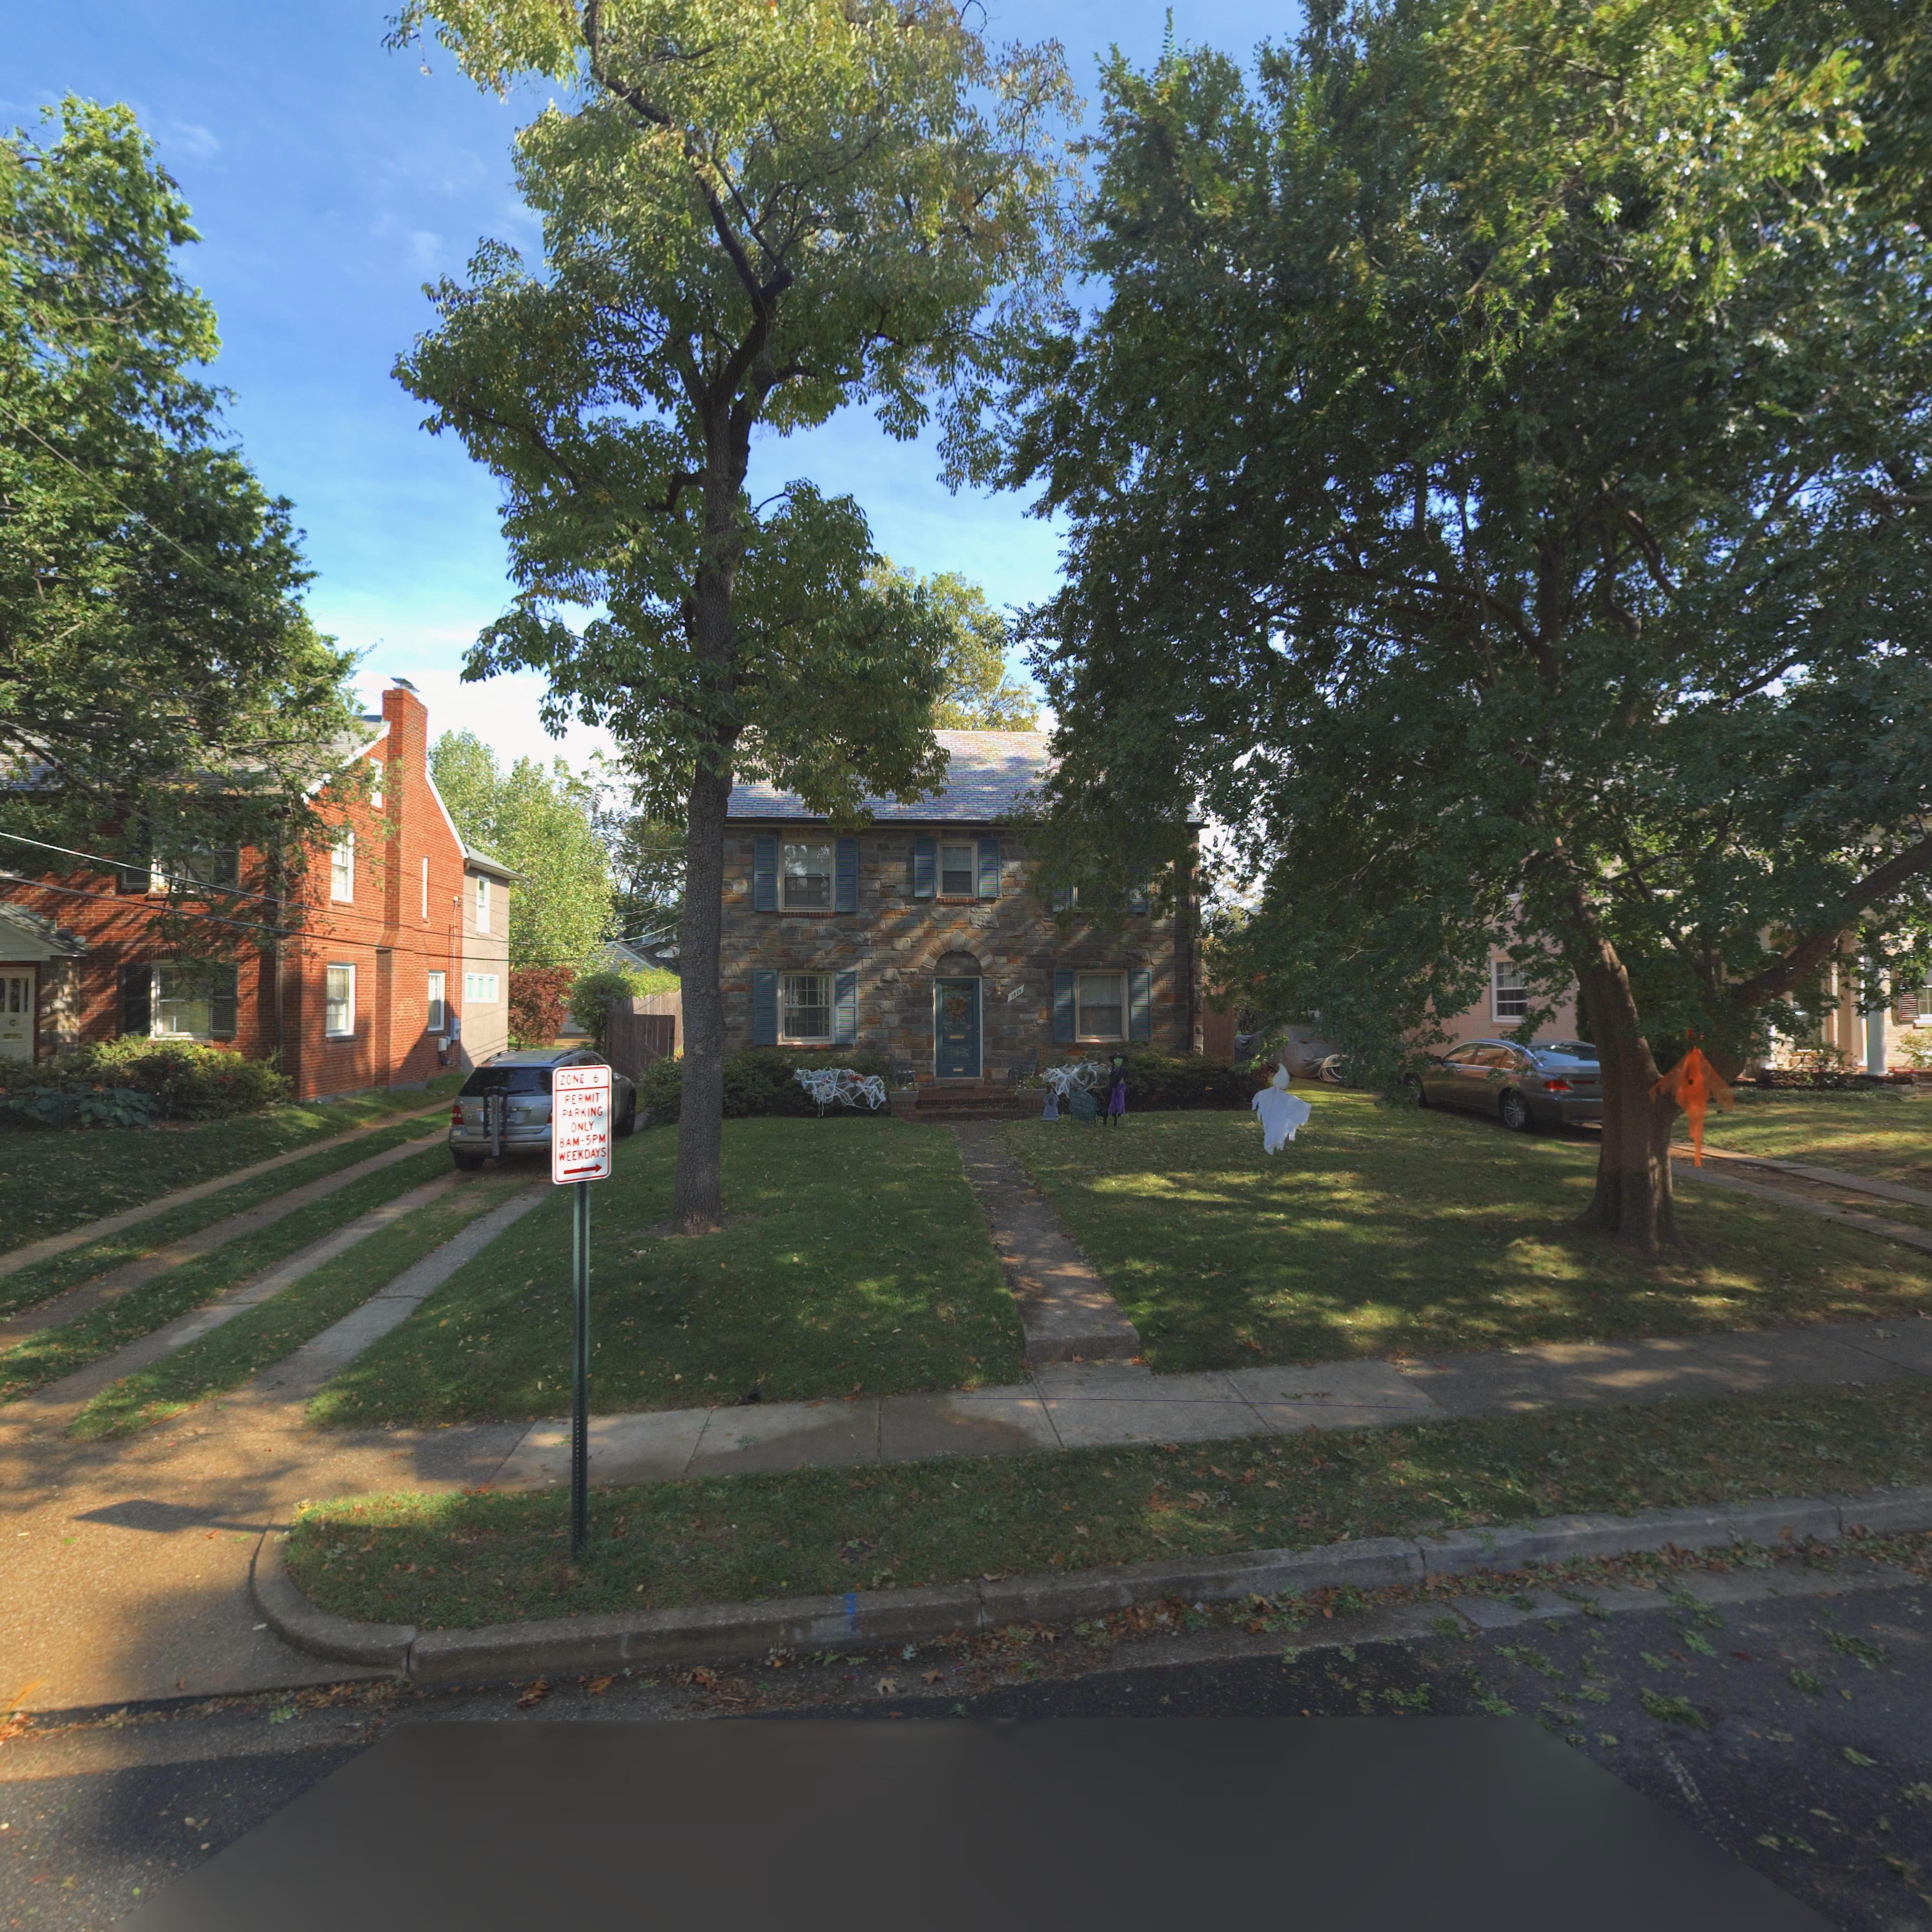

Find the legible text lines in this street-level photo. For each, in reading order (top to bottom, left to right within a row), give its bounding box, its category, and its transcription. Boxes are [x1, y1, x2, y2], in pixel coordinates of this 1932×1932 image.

[1010, 987, 1023, 1001] StreetNumber: 1819
[559, 1072, 600, 1086] None: ZONE 6
[563, 1091, 601, 1106] None: PERMIT
[561, 1105, 604, 1121] None: PARKING
[570, 1120, 596, 1134] None: ONLY
[558, 1132, 607, 1150] None: 8AM-5PM
[556, 1145, 608, 1163] None: WEEKDAYS